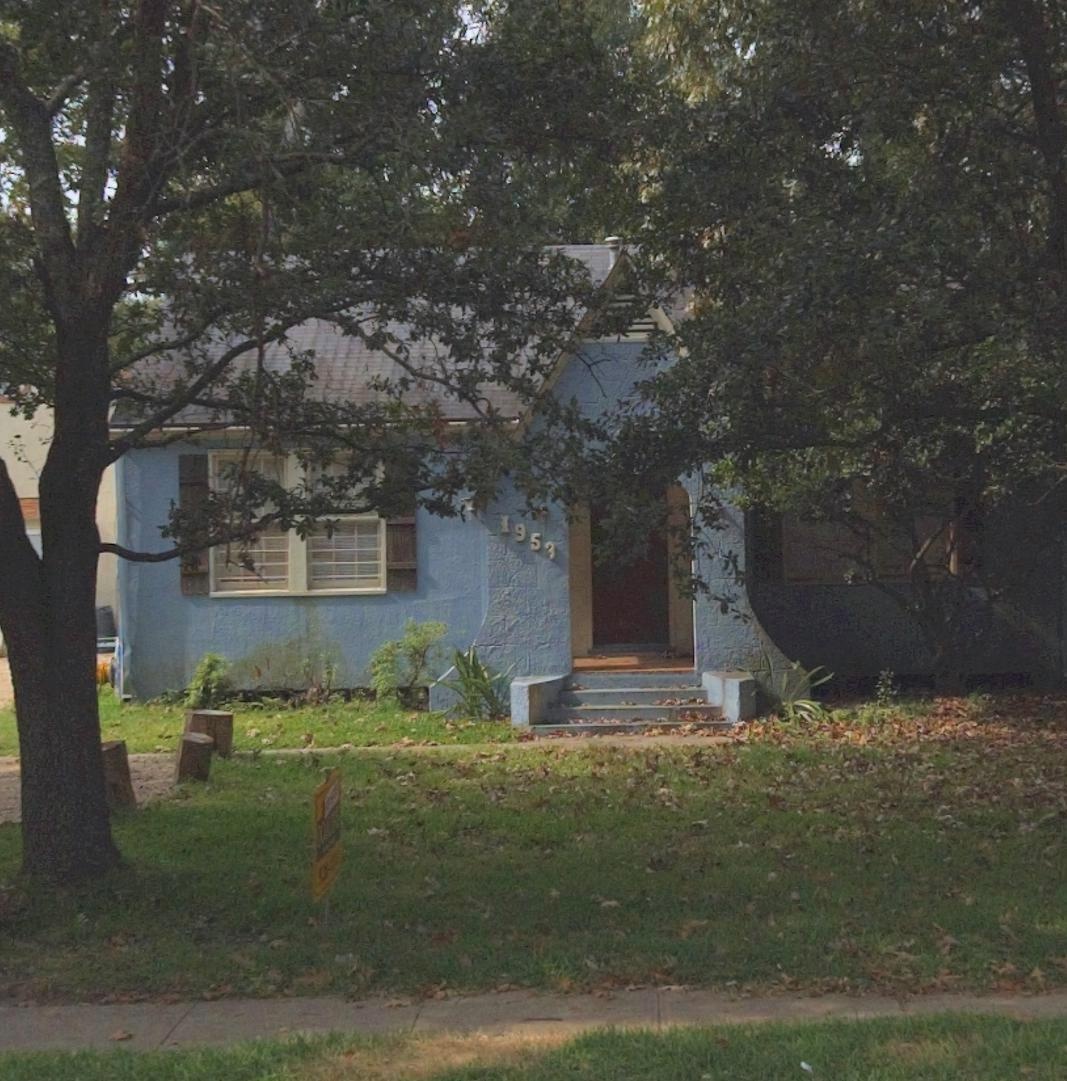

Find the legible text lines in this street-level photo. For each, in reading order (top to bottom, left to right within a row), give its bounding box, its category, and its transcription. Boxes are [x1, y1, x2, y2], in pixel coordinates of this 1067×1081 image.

[501, 510, 557, 564] StreetNumber: 1953